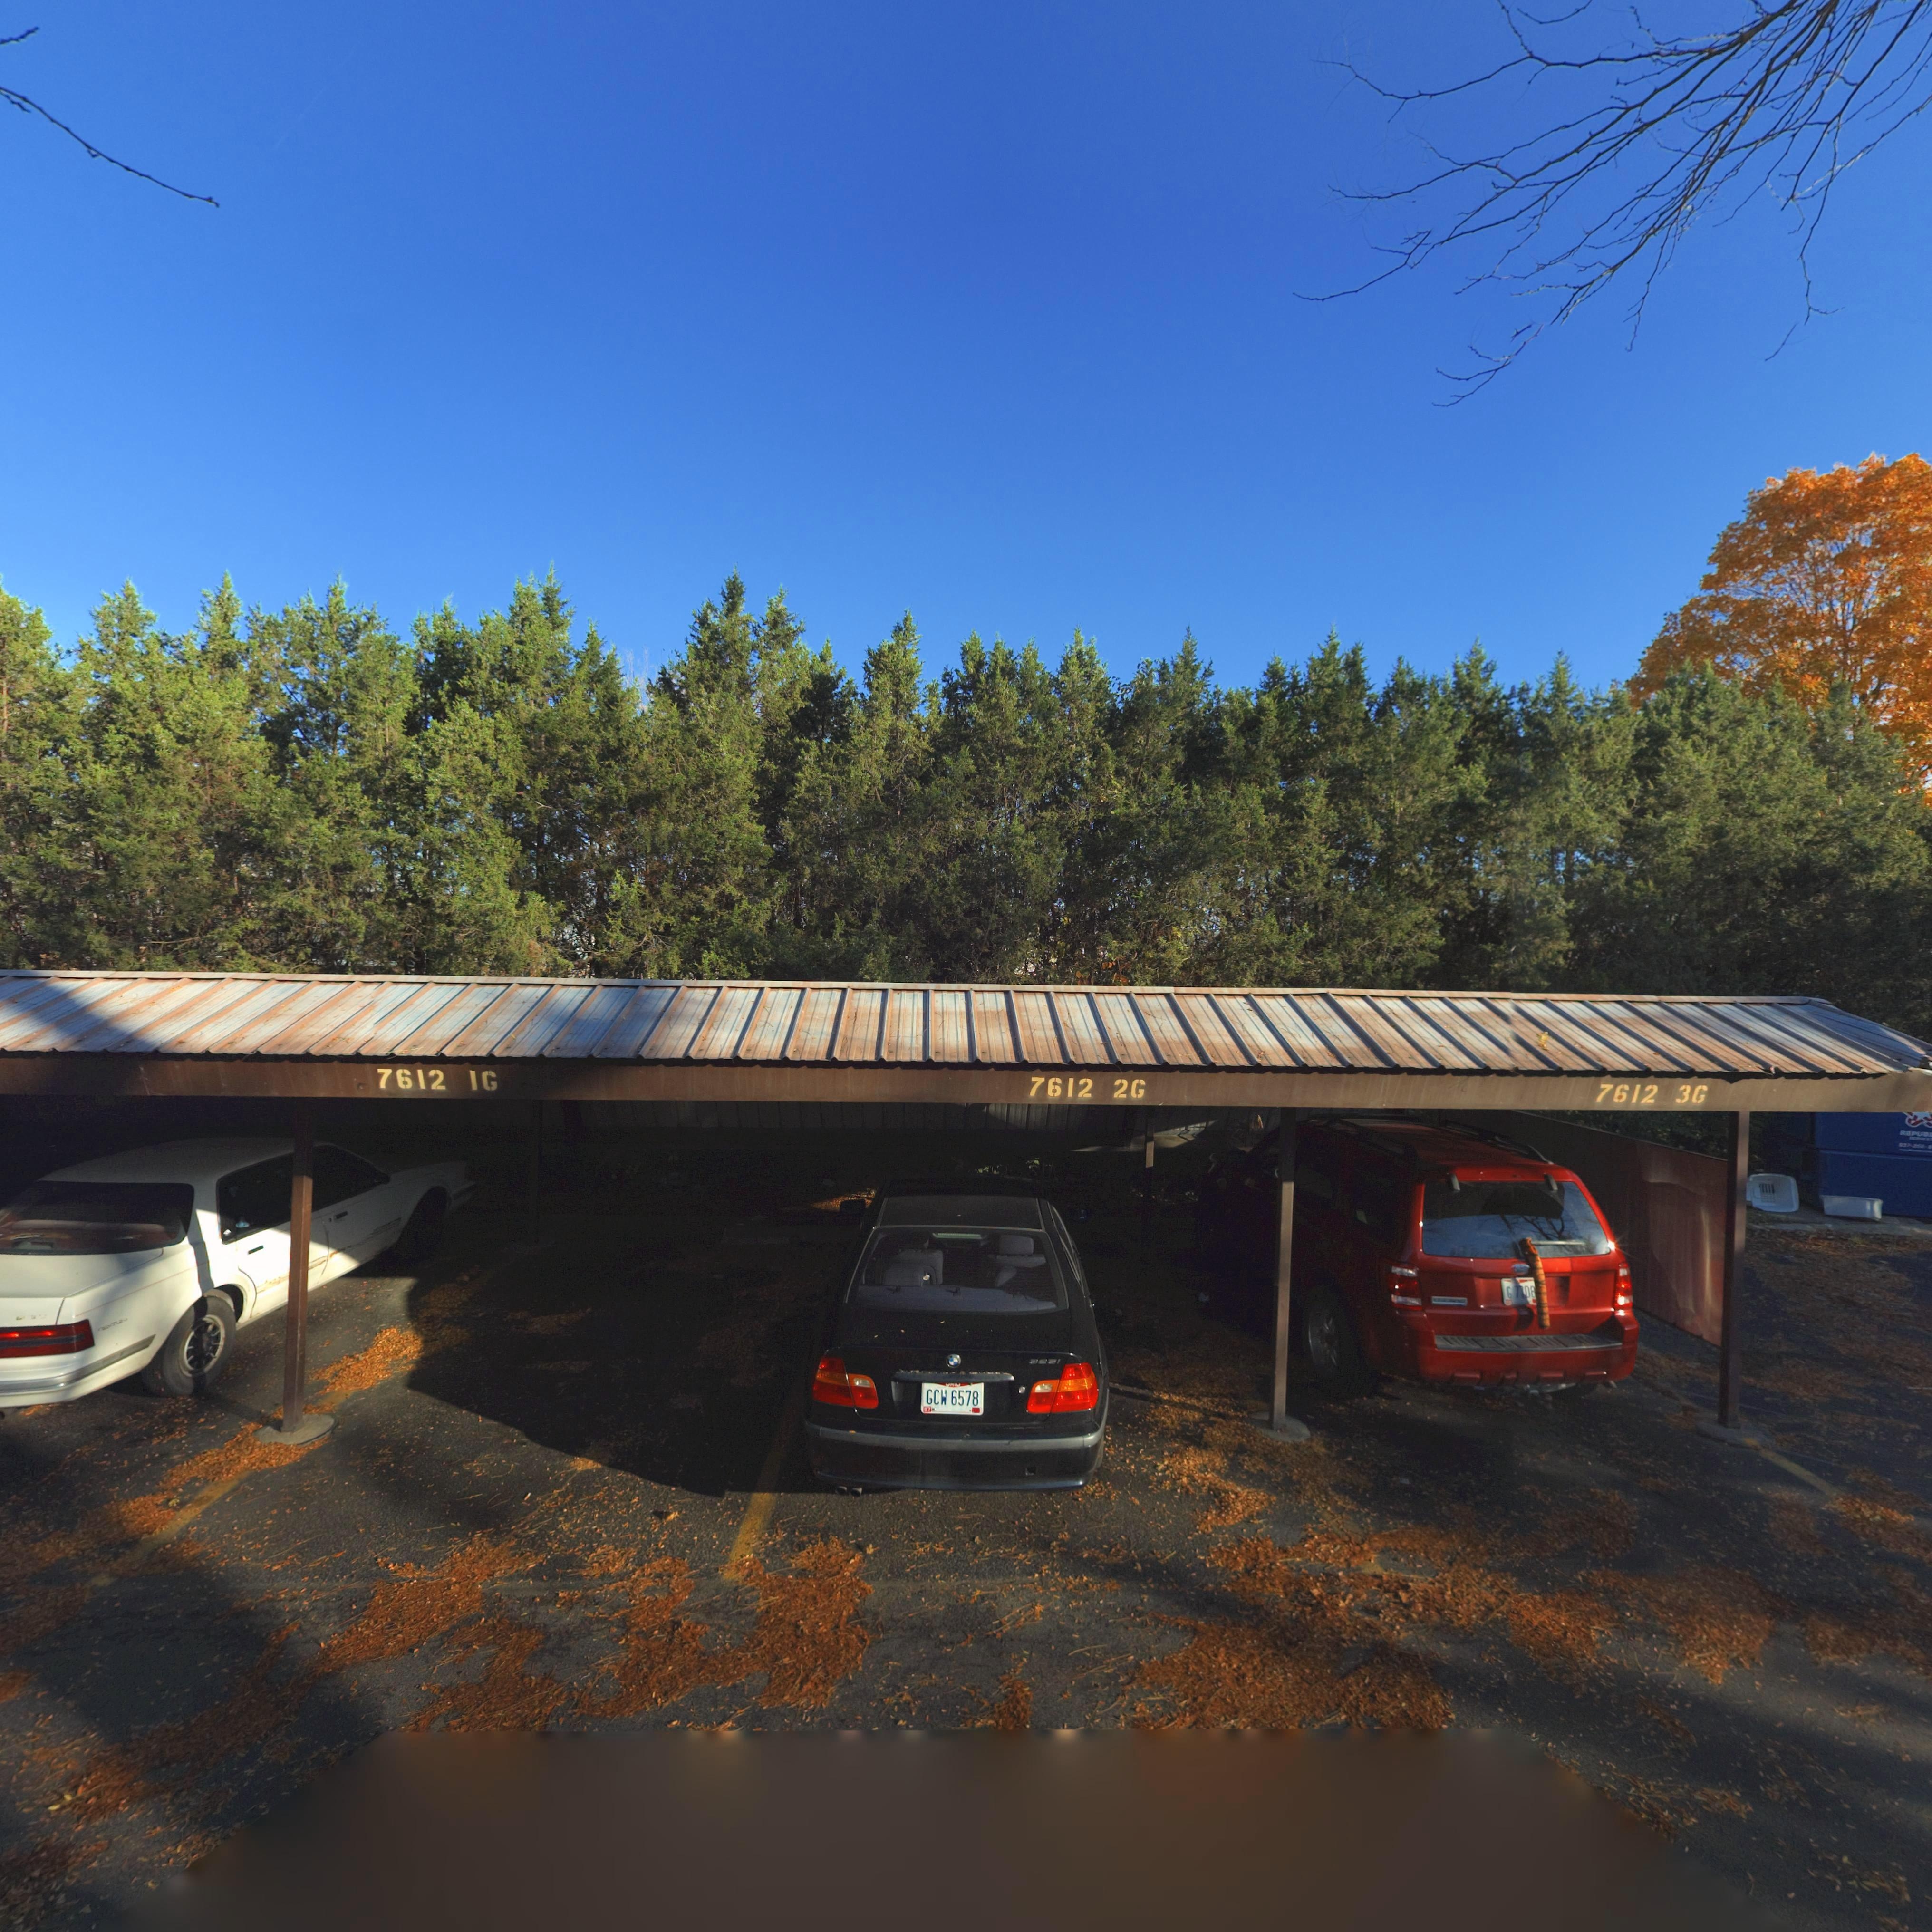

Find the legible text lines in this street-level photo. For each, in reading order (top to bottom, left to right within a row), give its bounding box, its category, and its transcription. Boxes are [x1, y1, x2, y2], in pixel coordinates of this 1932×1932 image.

[376, 1067, 447, 1091] StreetNumber: 7612
[1029, 1076, 1094, 1099] StreetNumber: 7612
[1594, 1083, 1660, 1104] StreetNumber: 7612